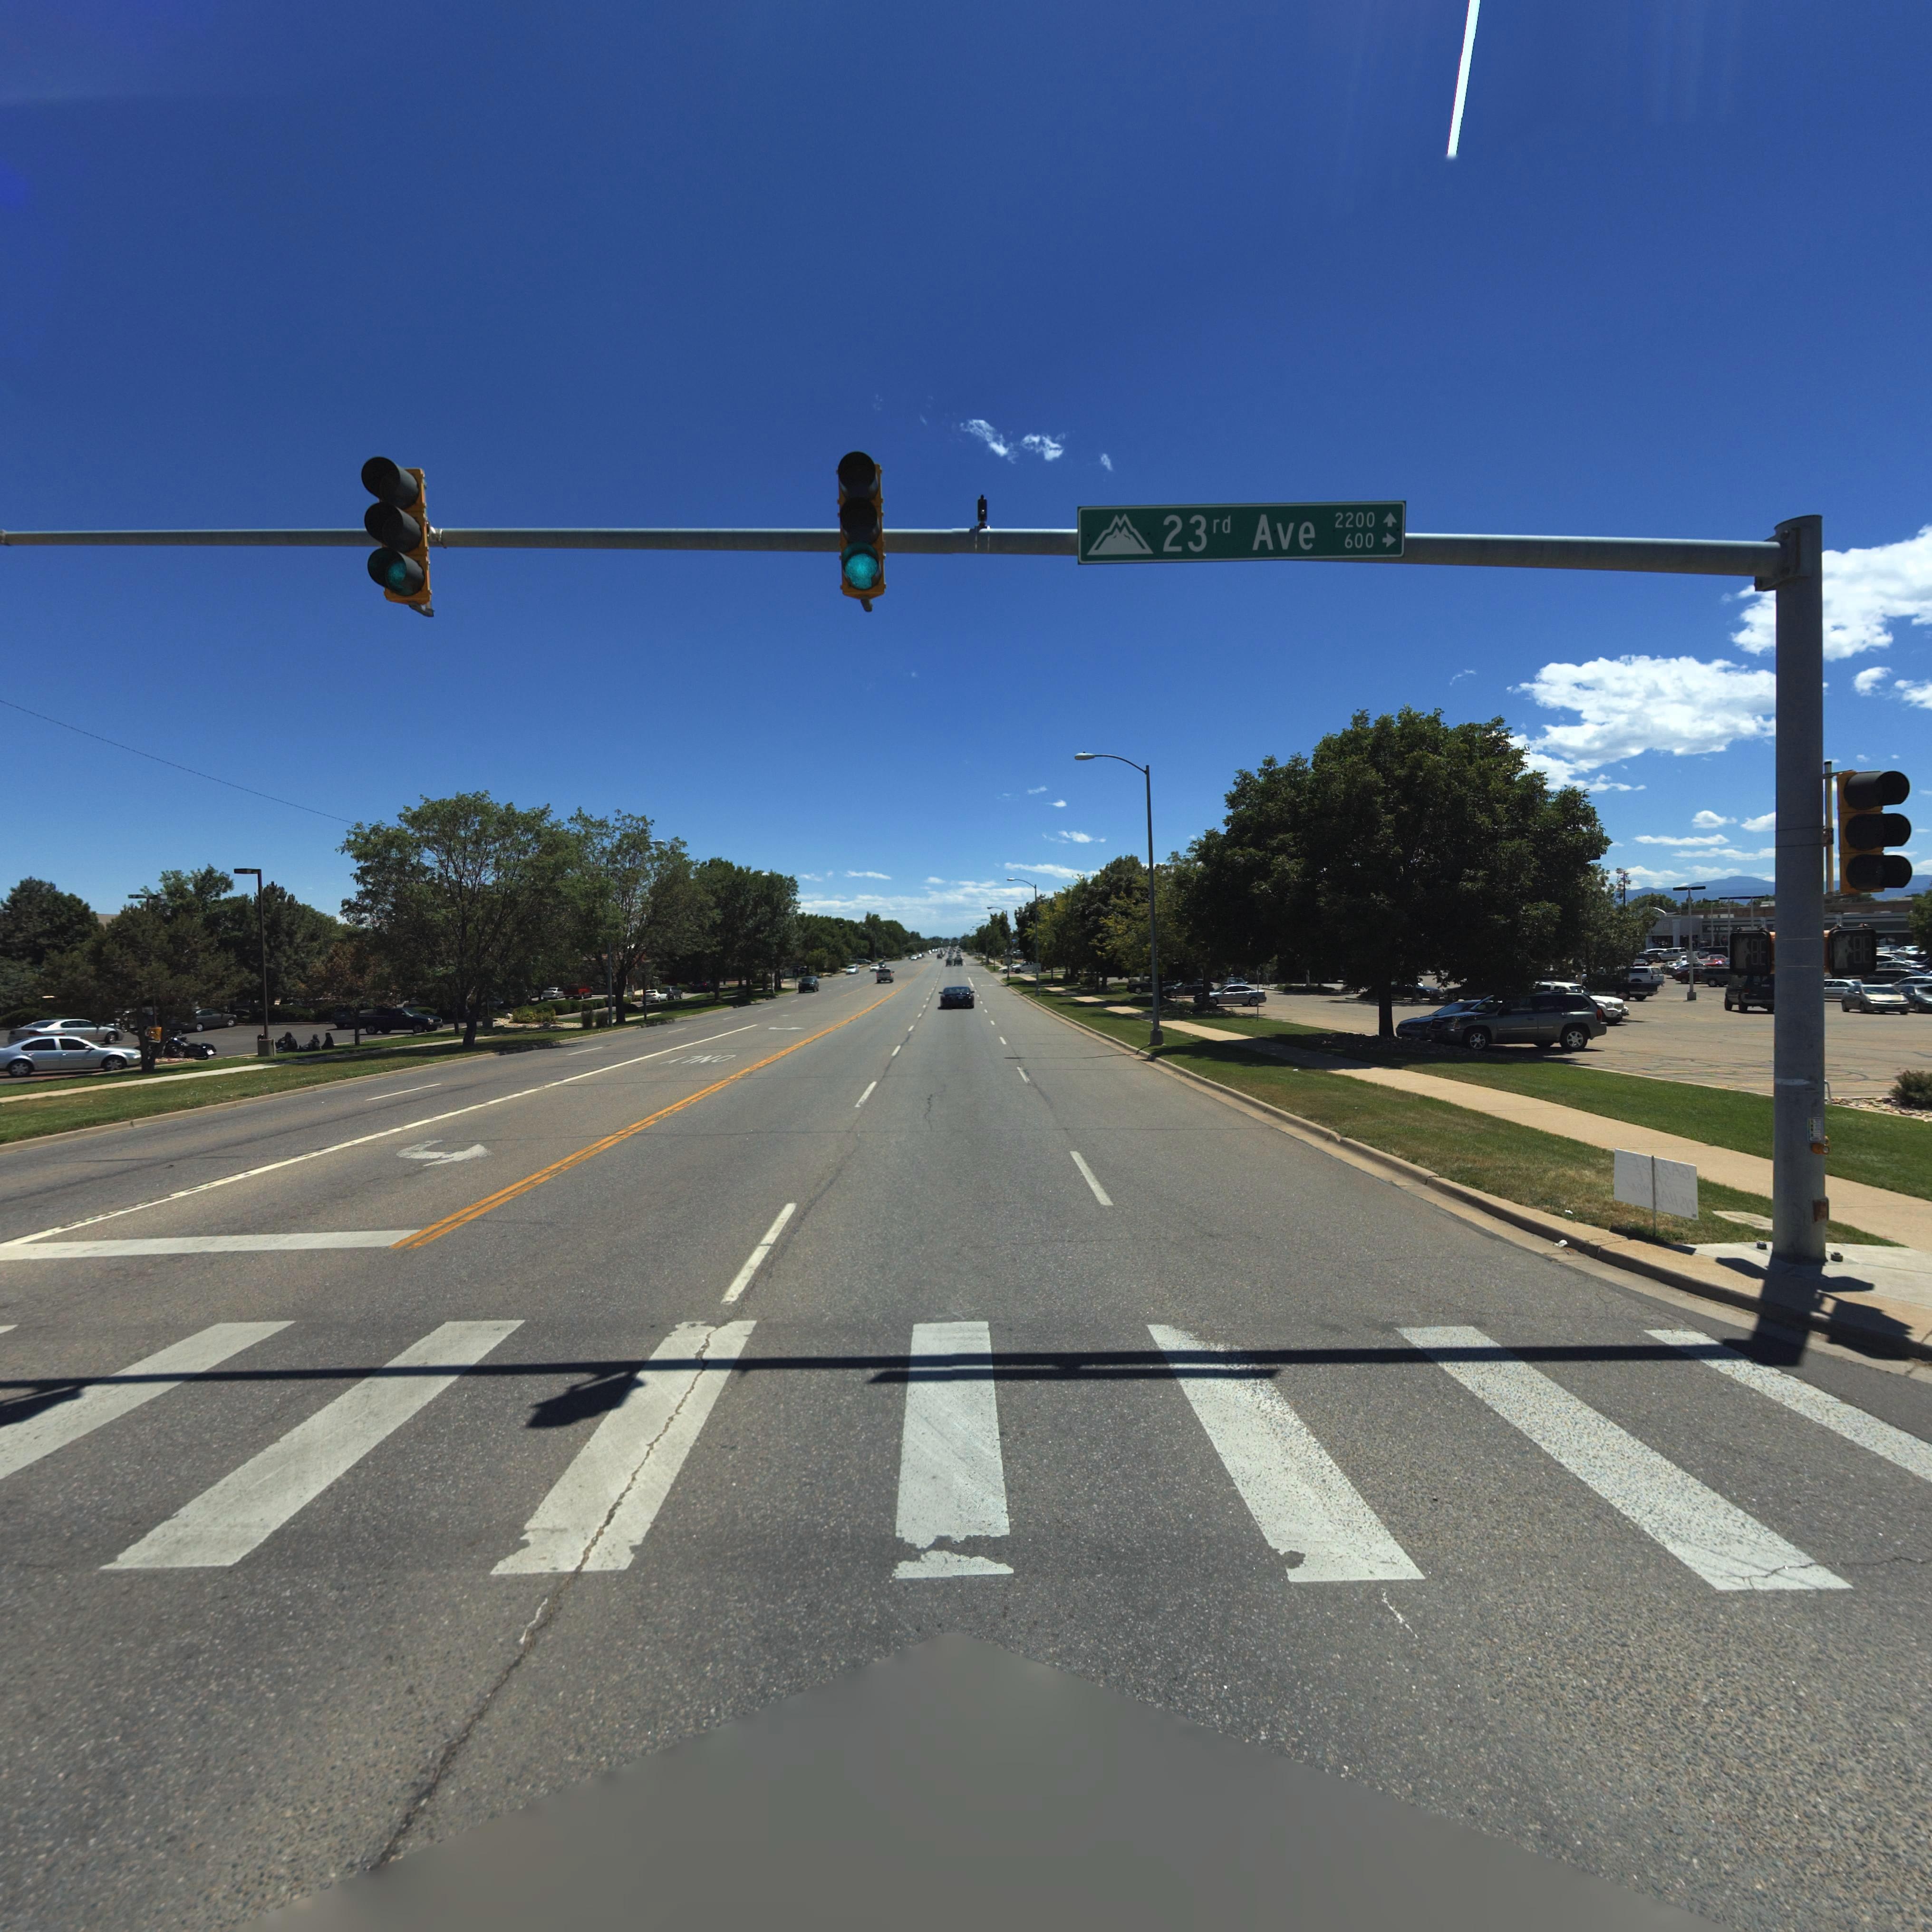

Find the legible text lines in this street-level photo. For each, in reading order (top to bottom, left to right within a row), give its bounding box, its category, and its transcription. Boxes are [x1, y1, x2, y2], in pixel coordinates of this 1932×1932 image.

[1334, 511, 1375, 528] StreetNumberRange: 2200
[1162, 513, 1315, 552] StreetName: 23rd Ave
[1344, 532, 1397, 549] StreetNumberRange: 600->